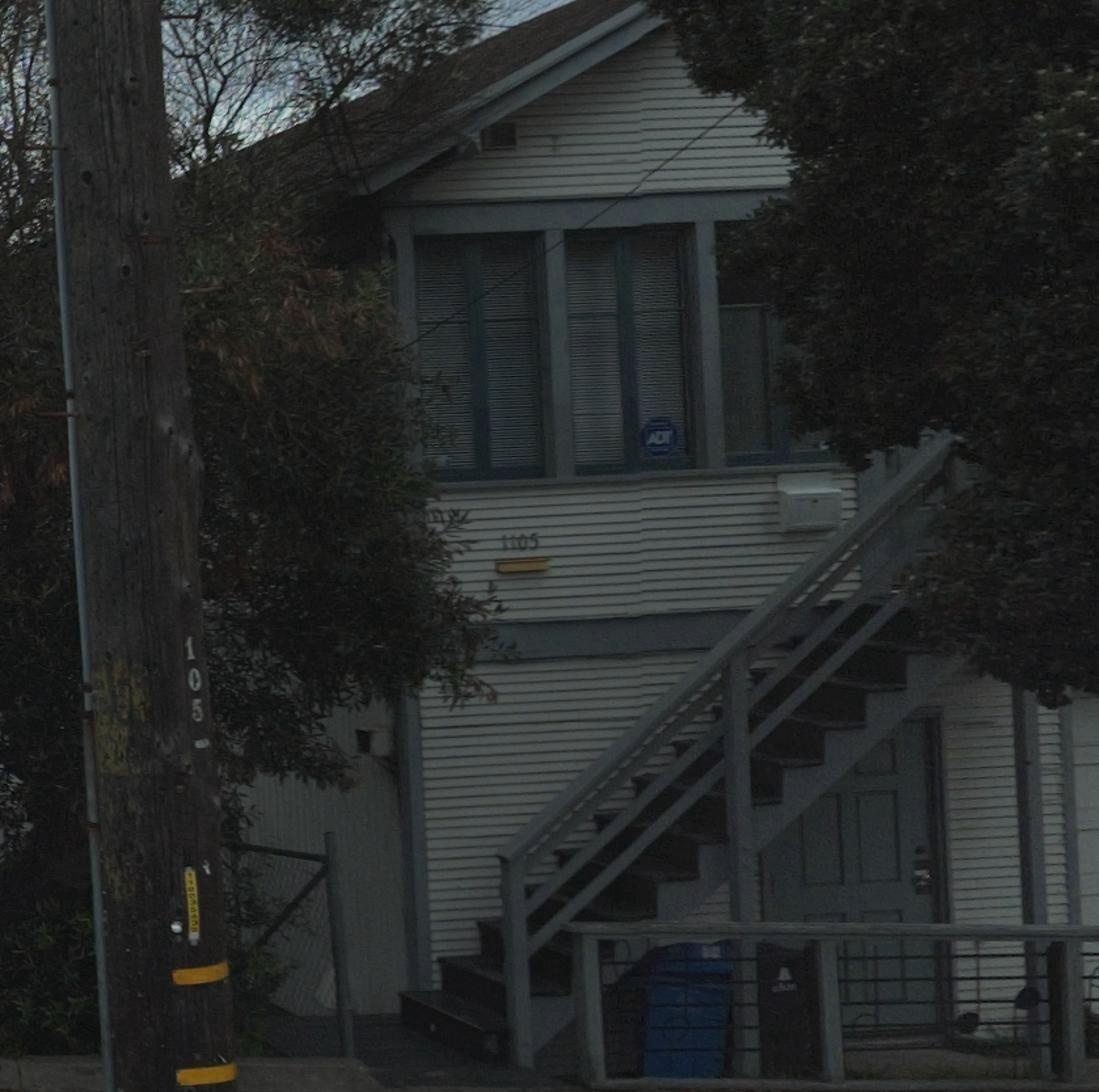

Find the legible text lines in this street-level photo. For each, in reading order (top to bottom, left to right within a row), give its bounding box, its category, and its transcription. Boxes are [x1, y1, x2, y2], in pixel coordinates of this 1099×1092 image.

[646, 429, 673, 444] None: ADT
[500, 531, 540, 552] StreetNumber: 1105
[183, 635, 206, 724] None: 105
[185, 871, 199, 933] None: 110*3543-